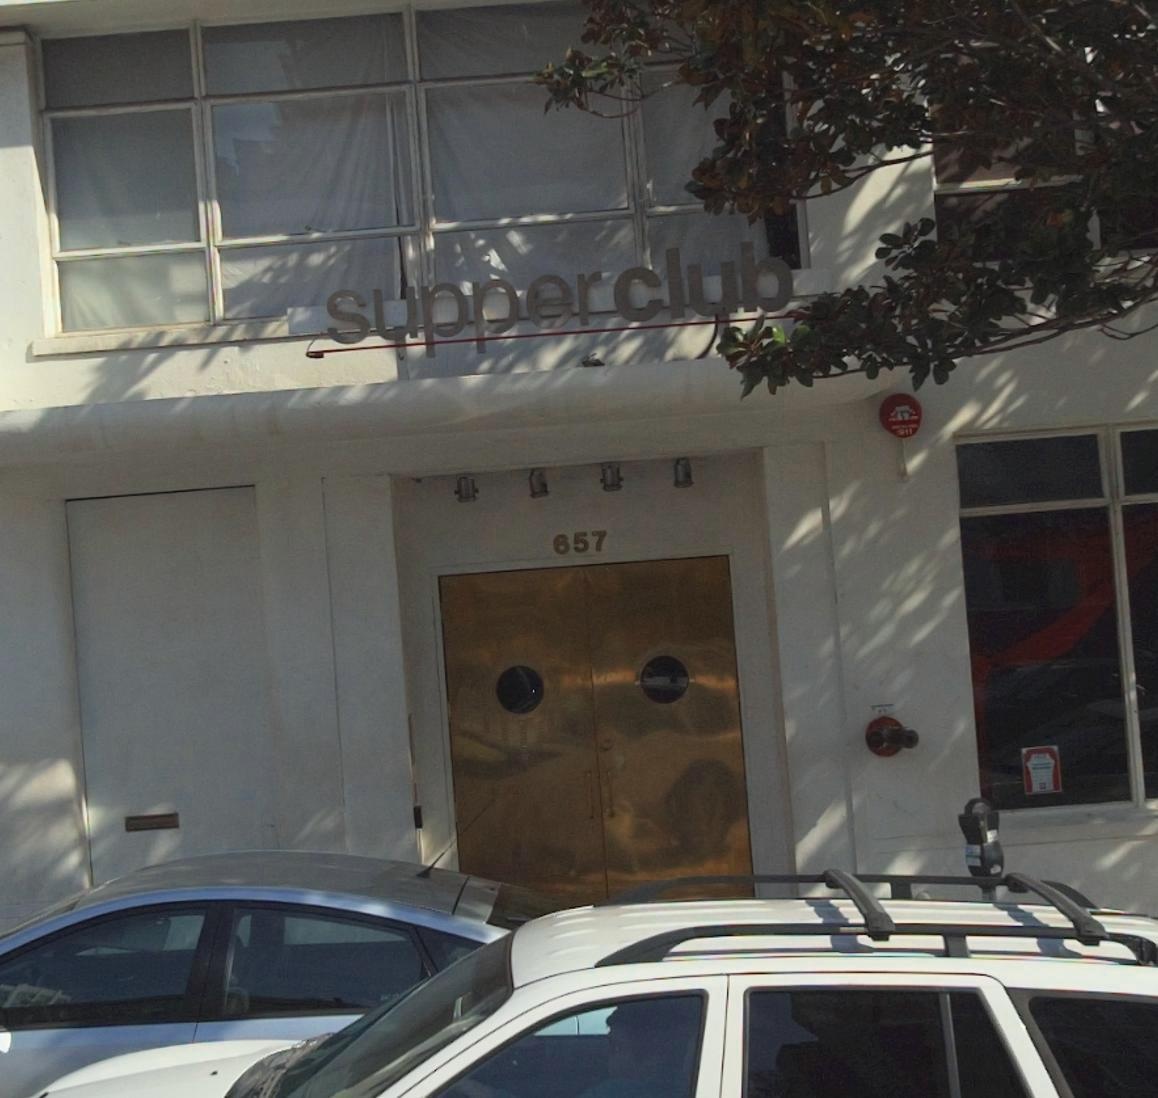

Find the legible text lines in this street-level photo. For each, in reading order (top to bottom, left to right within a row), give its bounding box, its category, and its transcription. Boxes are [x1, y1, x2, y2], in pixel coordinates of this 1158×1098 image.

[322, 238, 796, 360] BusinessName: supper club
[898, 428, 913, 436] None: *11
[551, 529, 609, 556] StreetNumber: 657